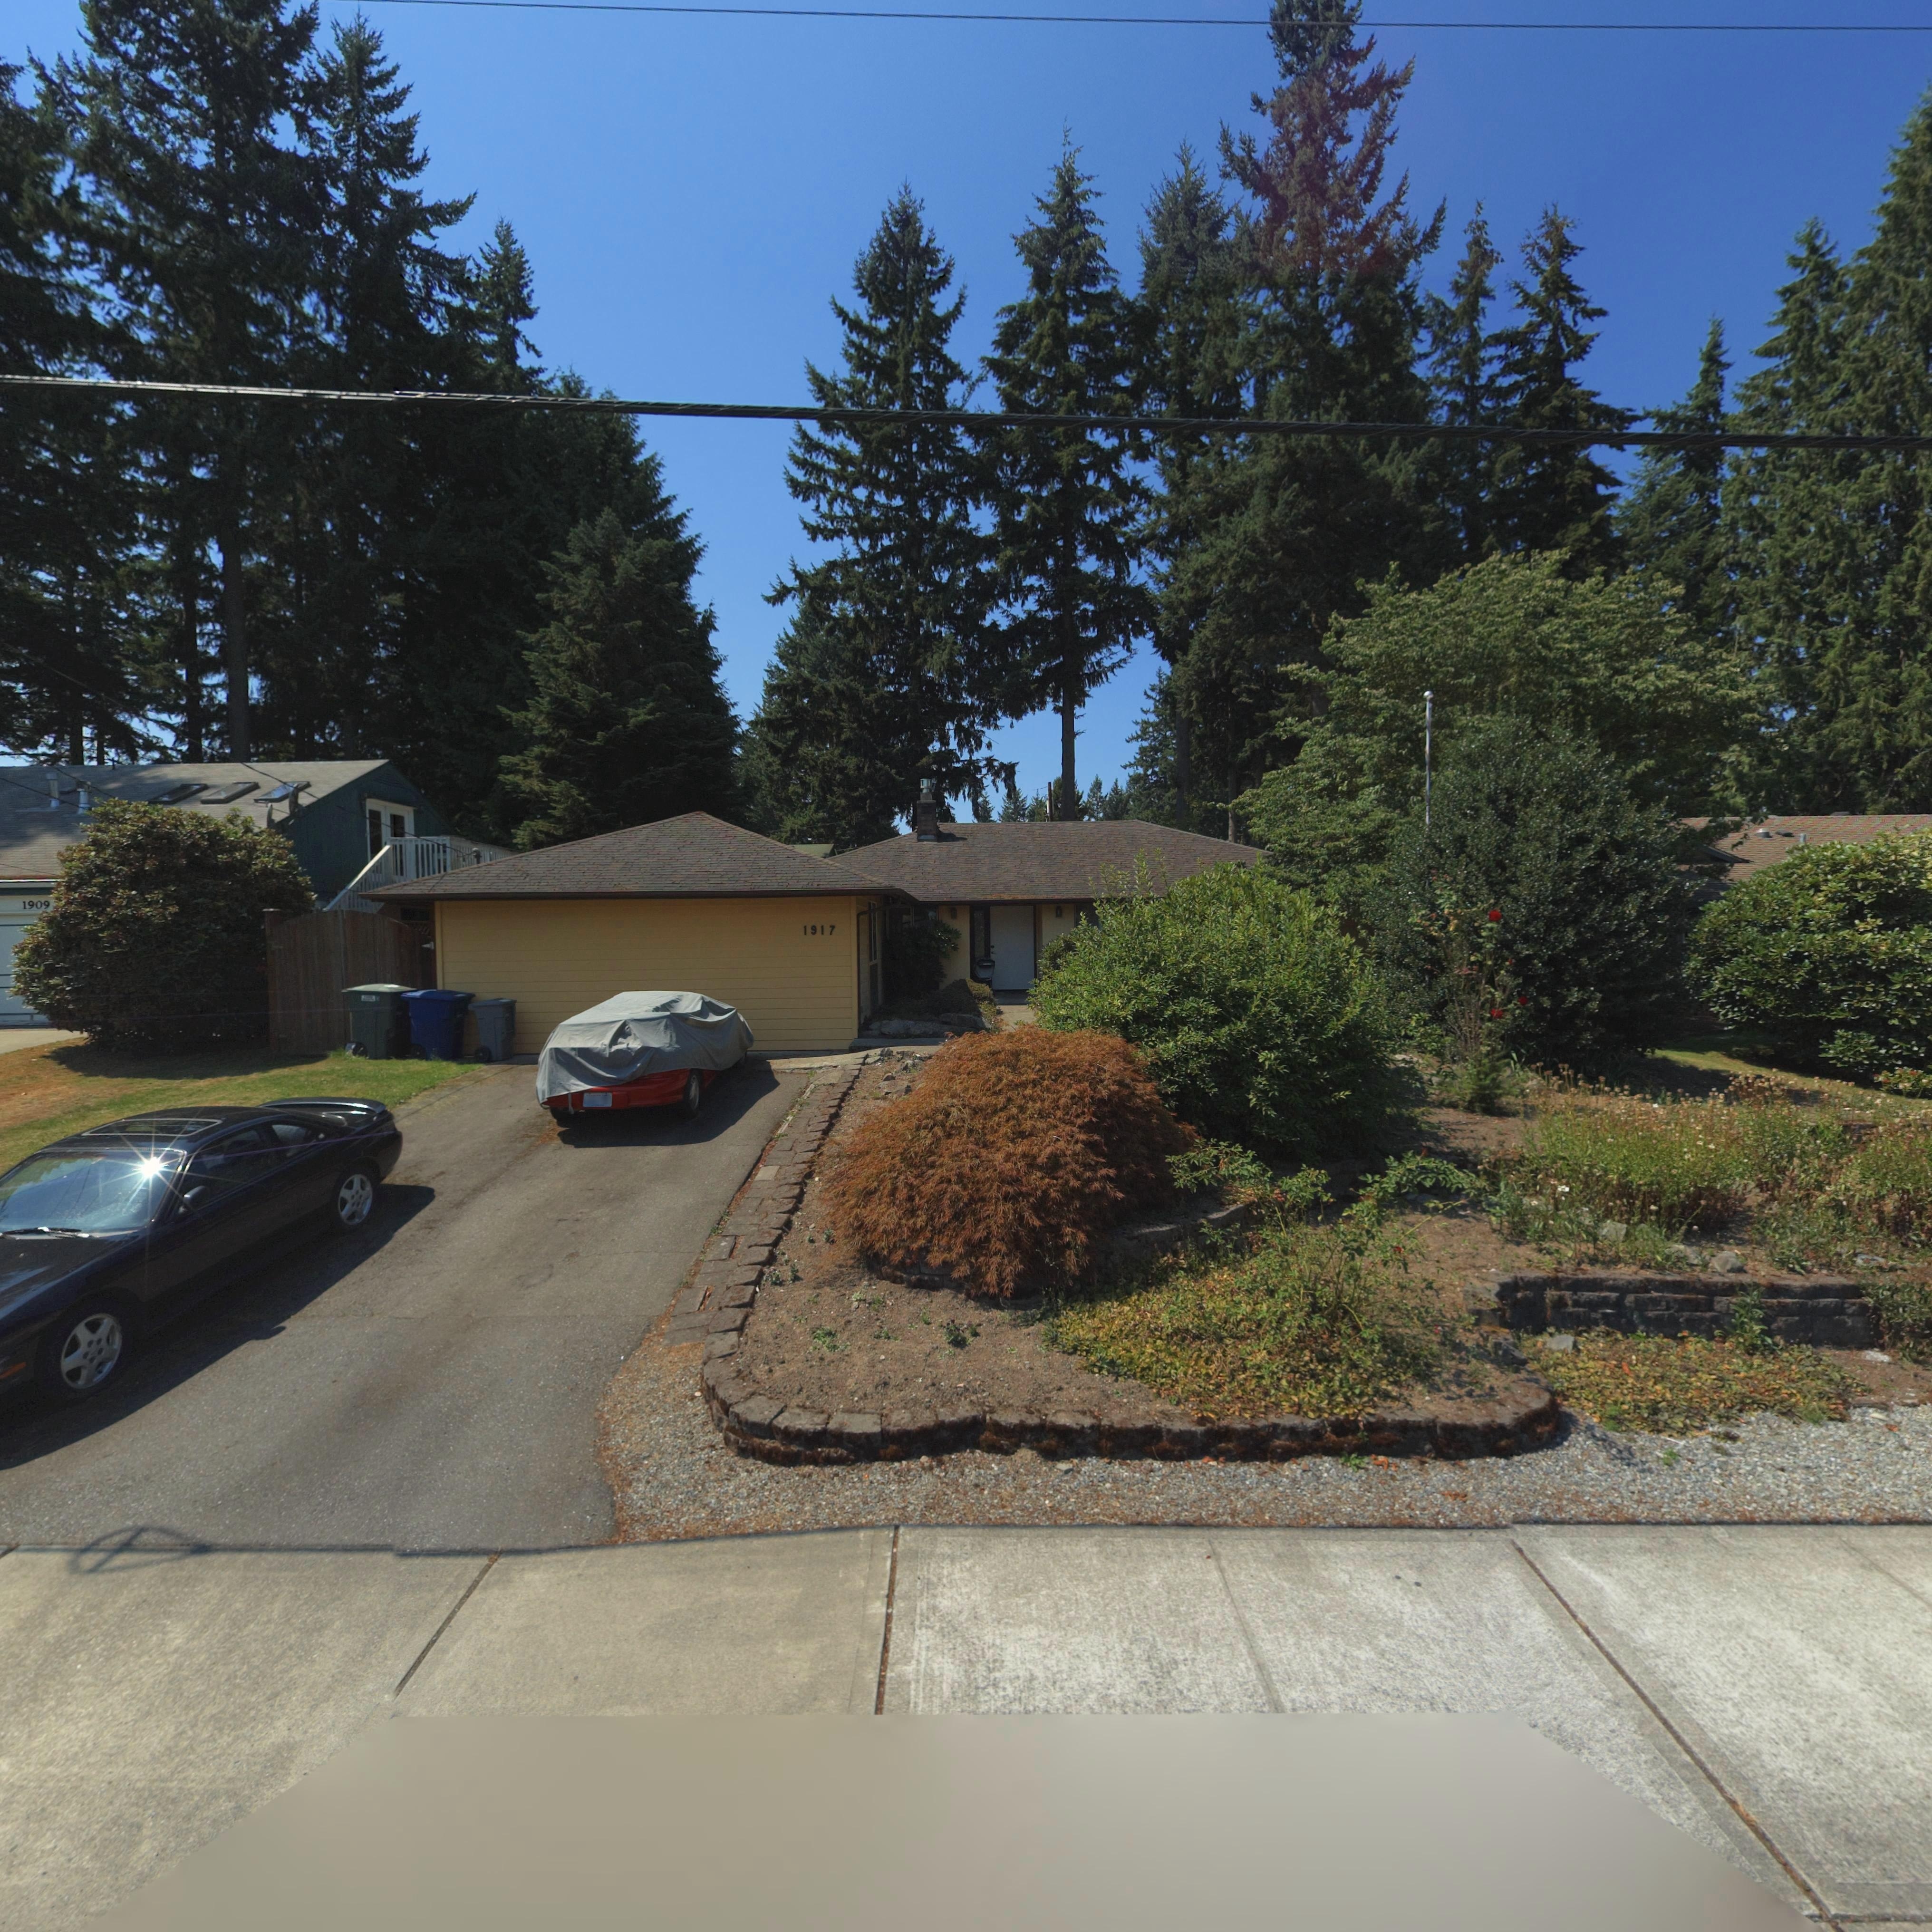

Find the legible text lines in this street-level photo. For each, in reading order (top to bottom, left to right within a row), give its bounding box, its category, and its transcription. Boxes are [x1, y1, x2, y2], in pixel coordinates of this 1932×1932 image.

[22, 899, 50, 910] StreetNumber: 1909
[802, 924, 836, 935] StreetNumber: 1917